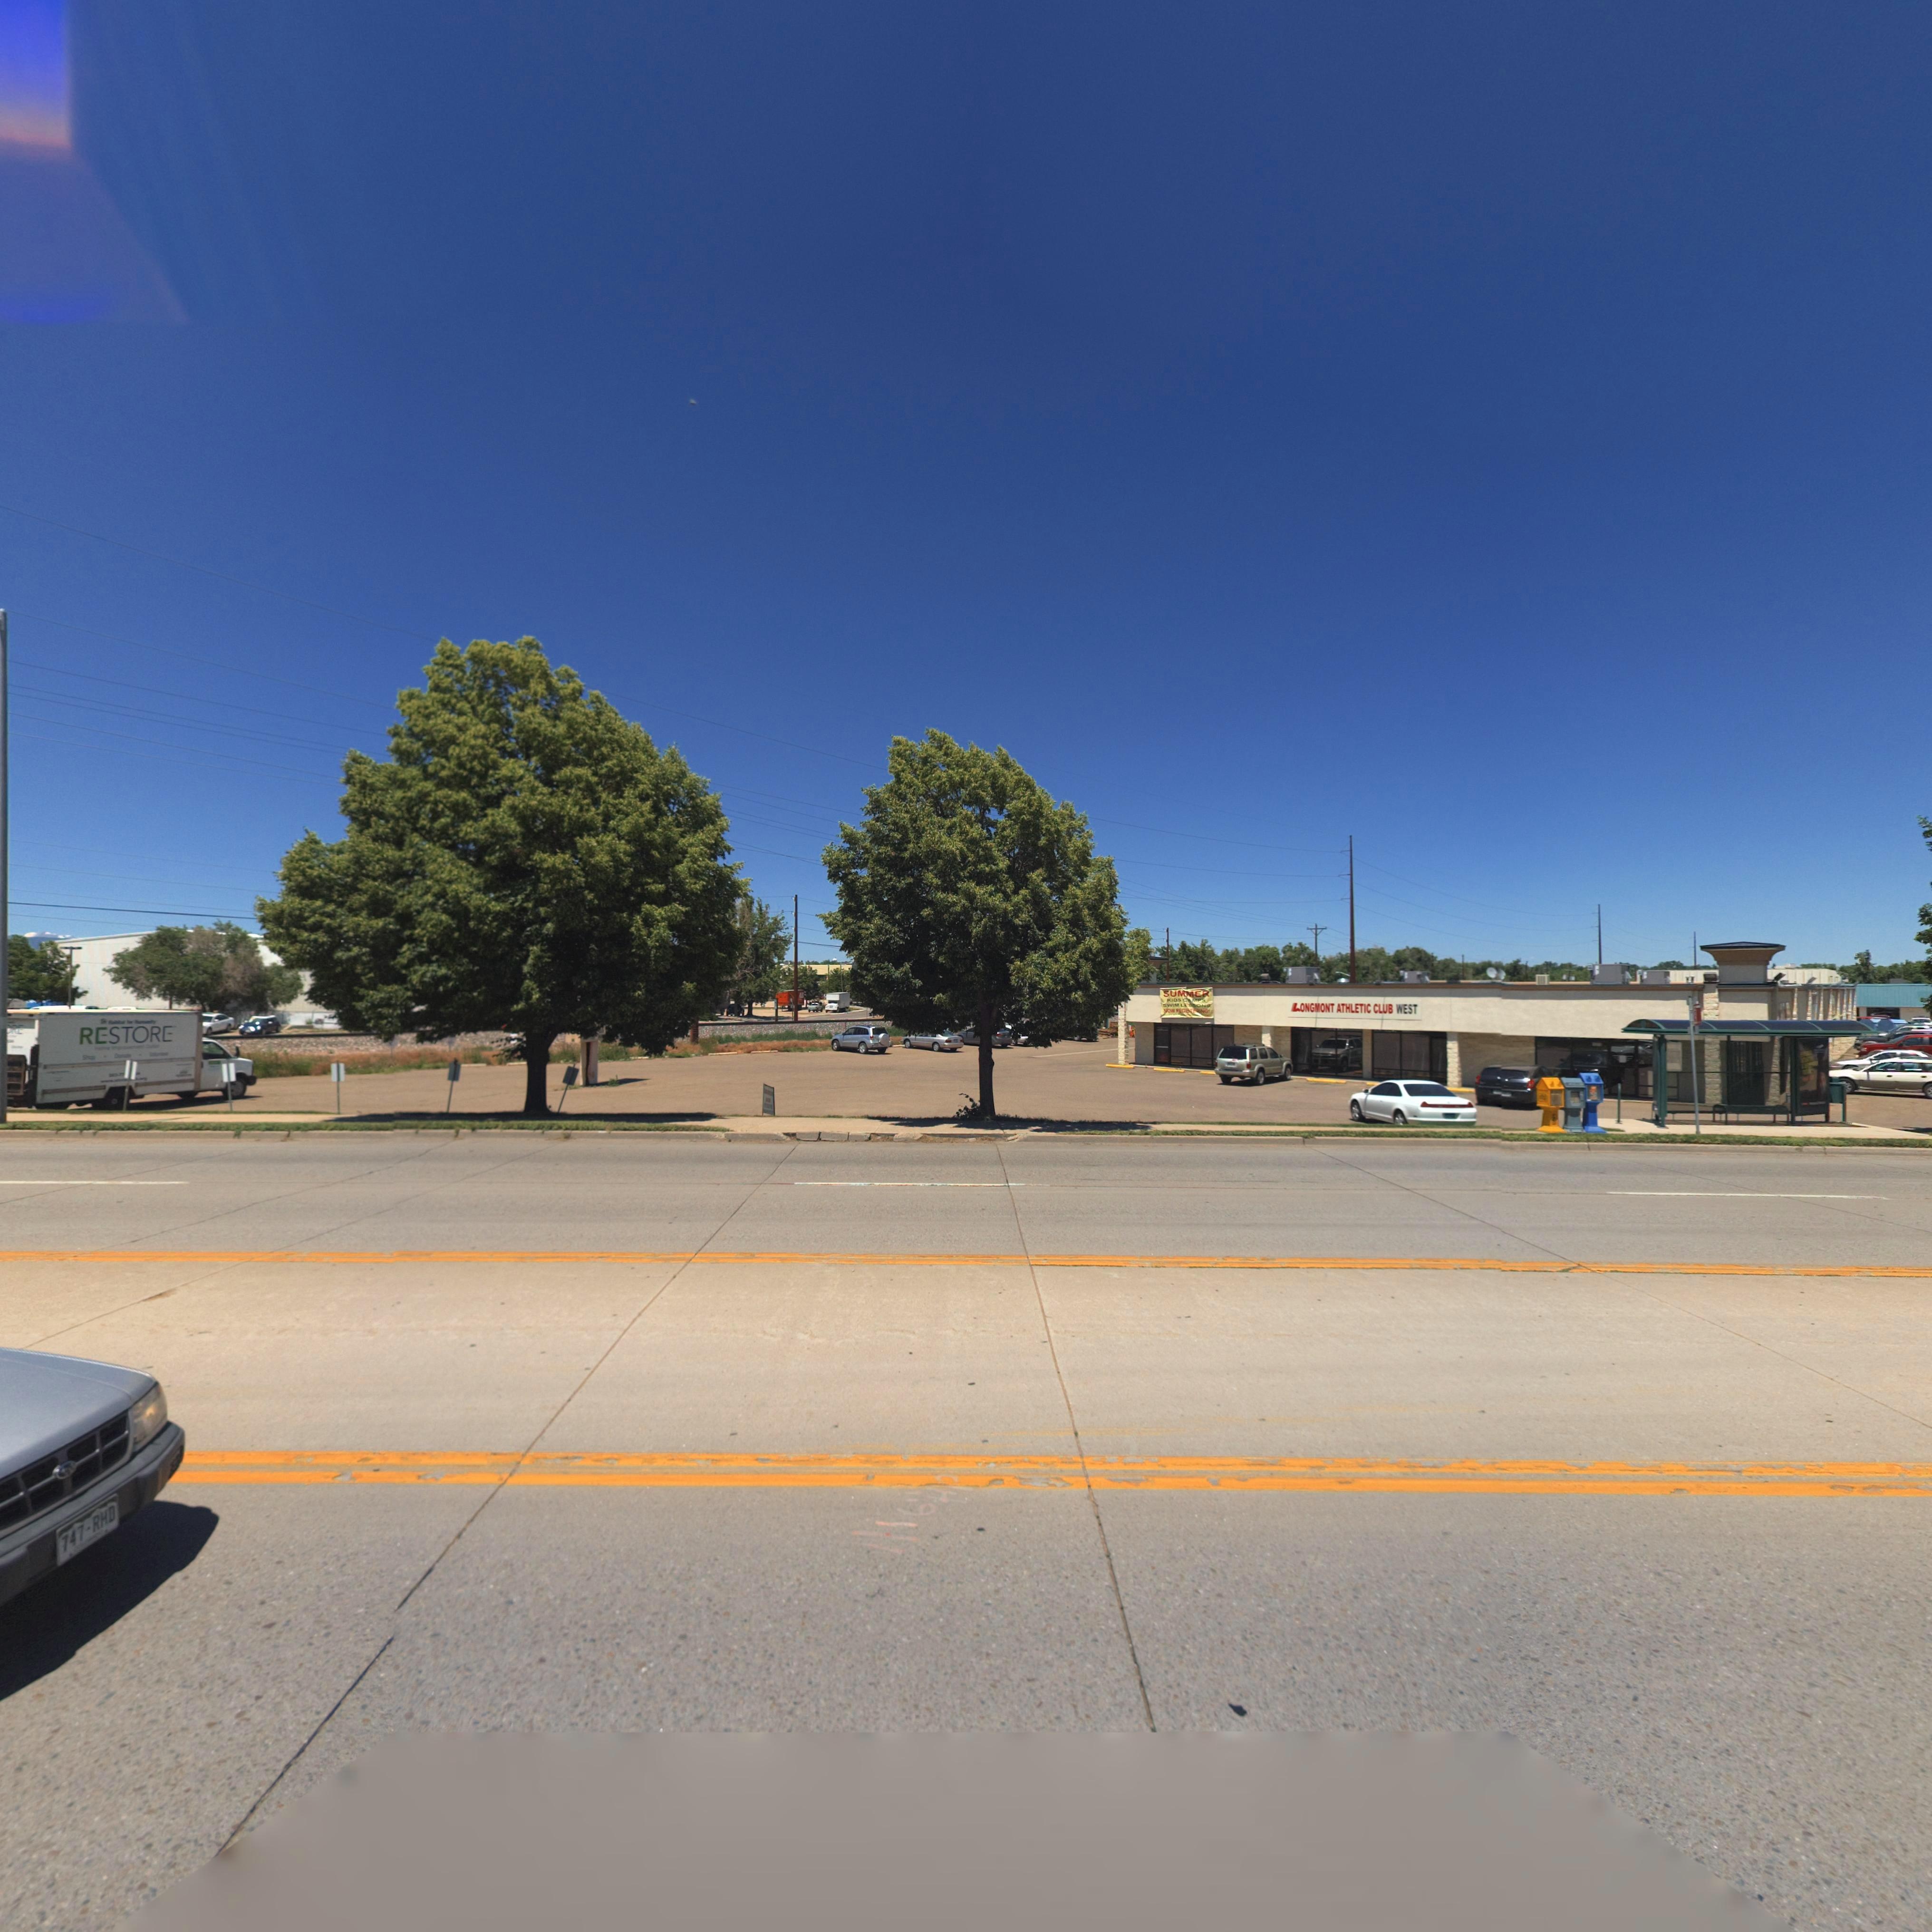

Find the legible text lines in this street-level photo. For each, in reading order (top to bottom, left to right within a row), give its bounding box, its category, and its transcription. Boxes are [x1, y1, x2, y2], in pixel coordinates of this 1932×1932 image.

[1290, 1002, 1418, 1014] BusinessName: LONGMONT ATHLETIC CLUB WEST